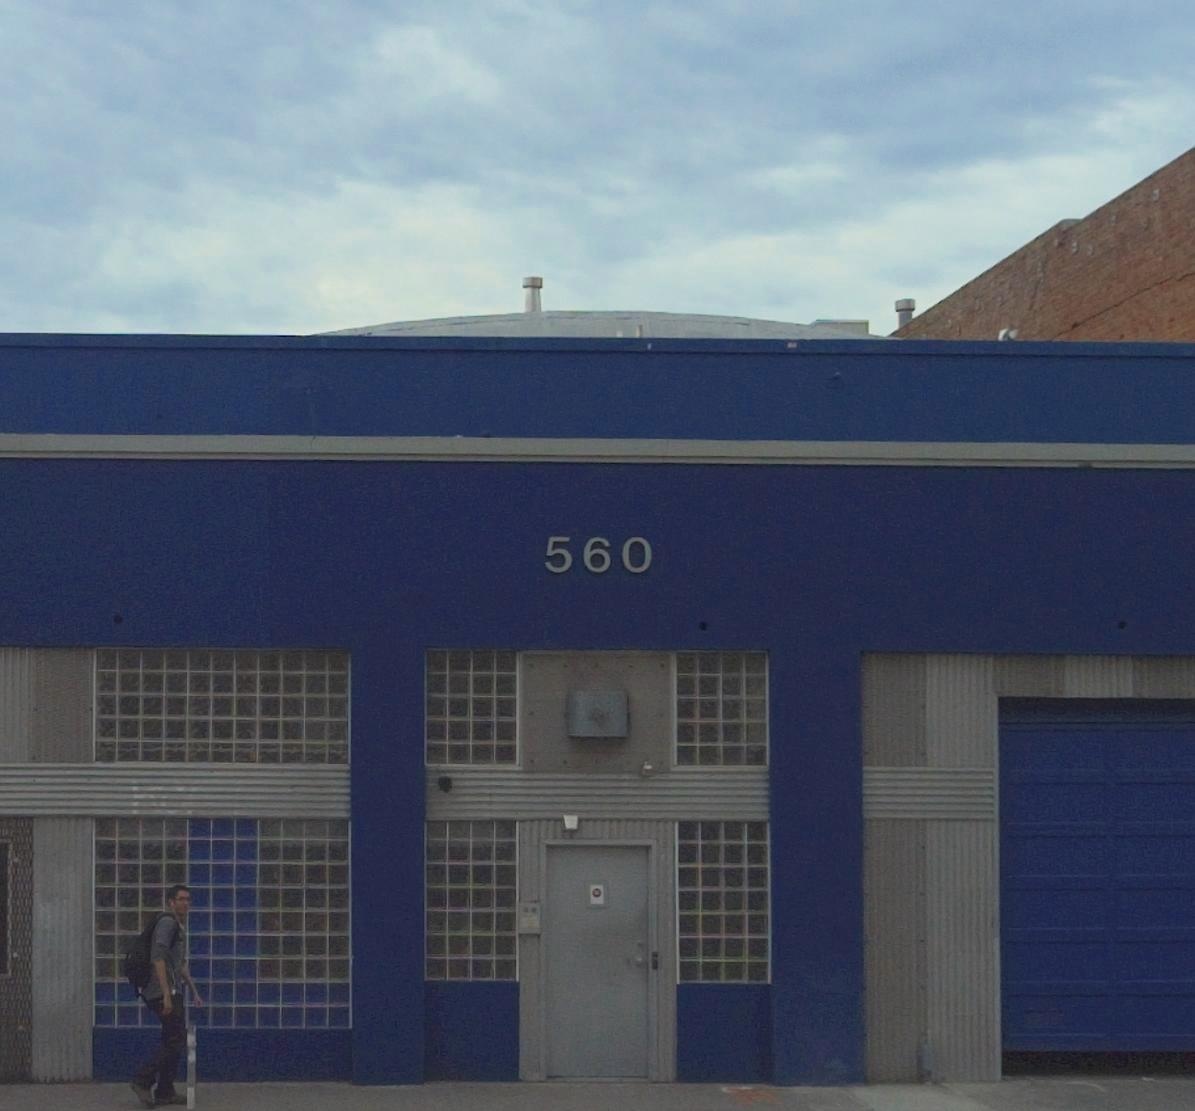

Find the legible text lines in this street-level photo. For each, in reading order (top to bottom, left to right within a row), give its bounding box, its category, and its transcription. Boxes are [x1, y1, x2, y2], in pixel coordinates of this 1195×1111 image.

[542, 533, 655, 576] StreetNumber: 560